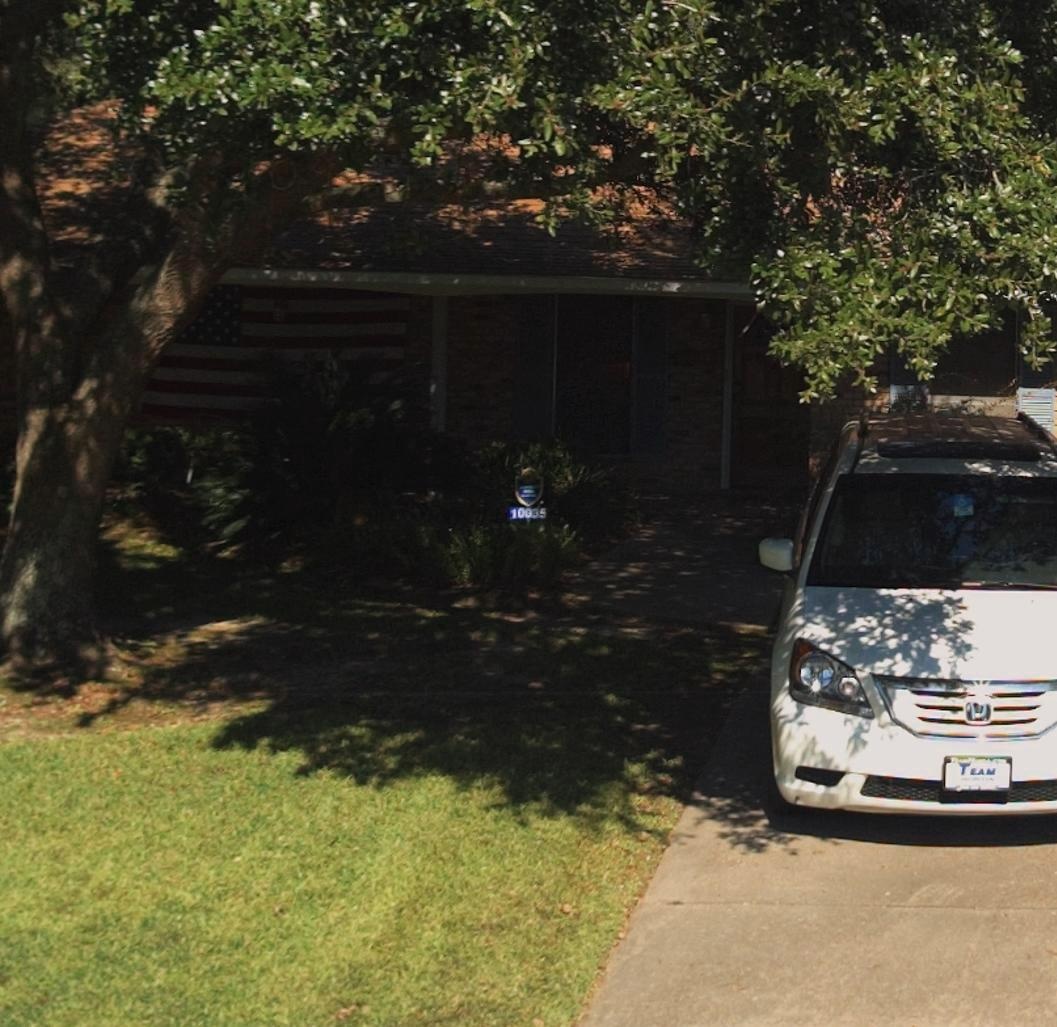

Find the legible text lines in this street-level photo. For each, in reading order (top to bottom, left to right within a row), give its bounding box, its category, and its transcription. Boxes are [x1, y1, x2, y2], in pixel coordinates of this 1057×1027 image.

[509, 507, 548, 520] StreetNumber: 10035
[958, 760, 997, 776] None: TEAM